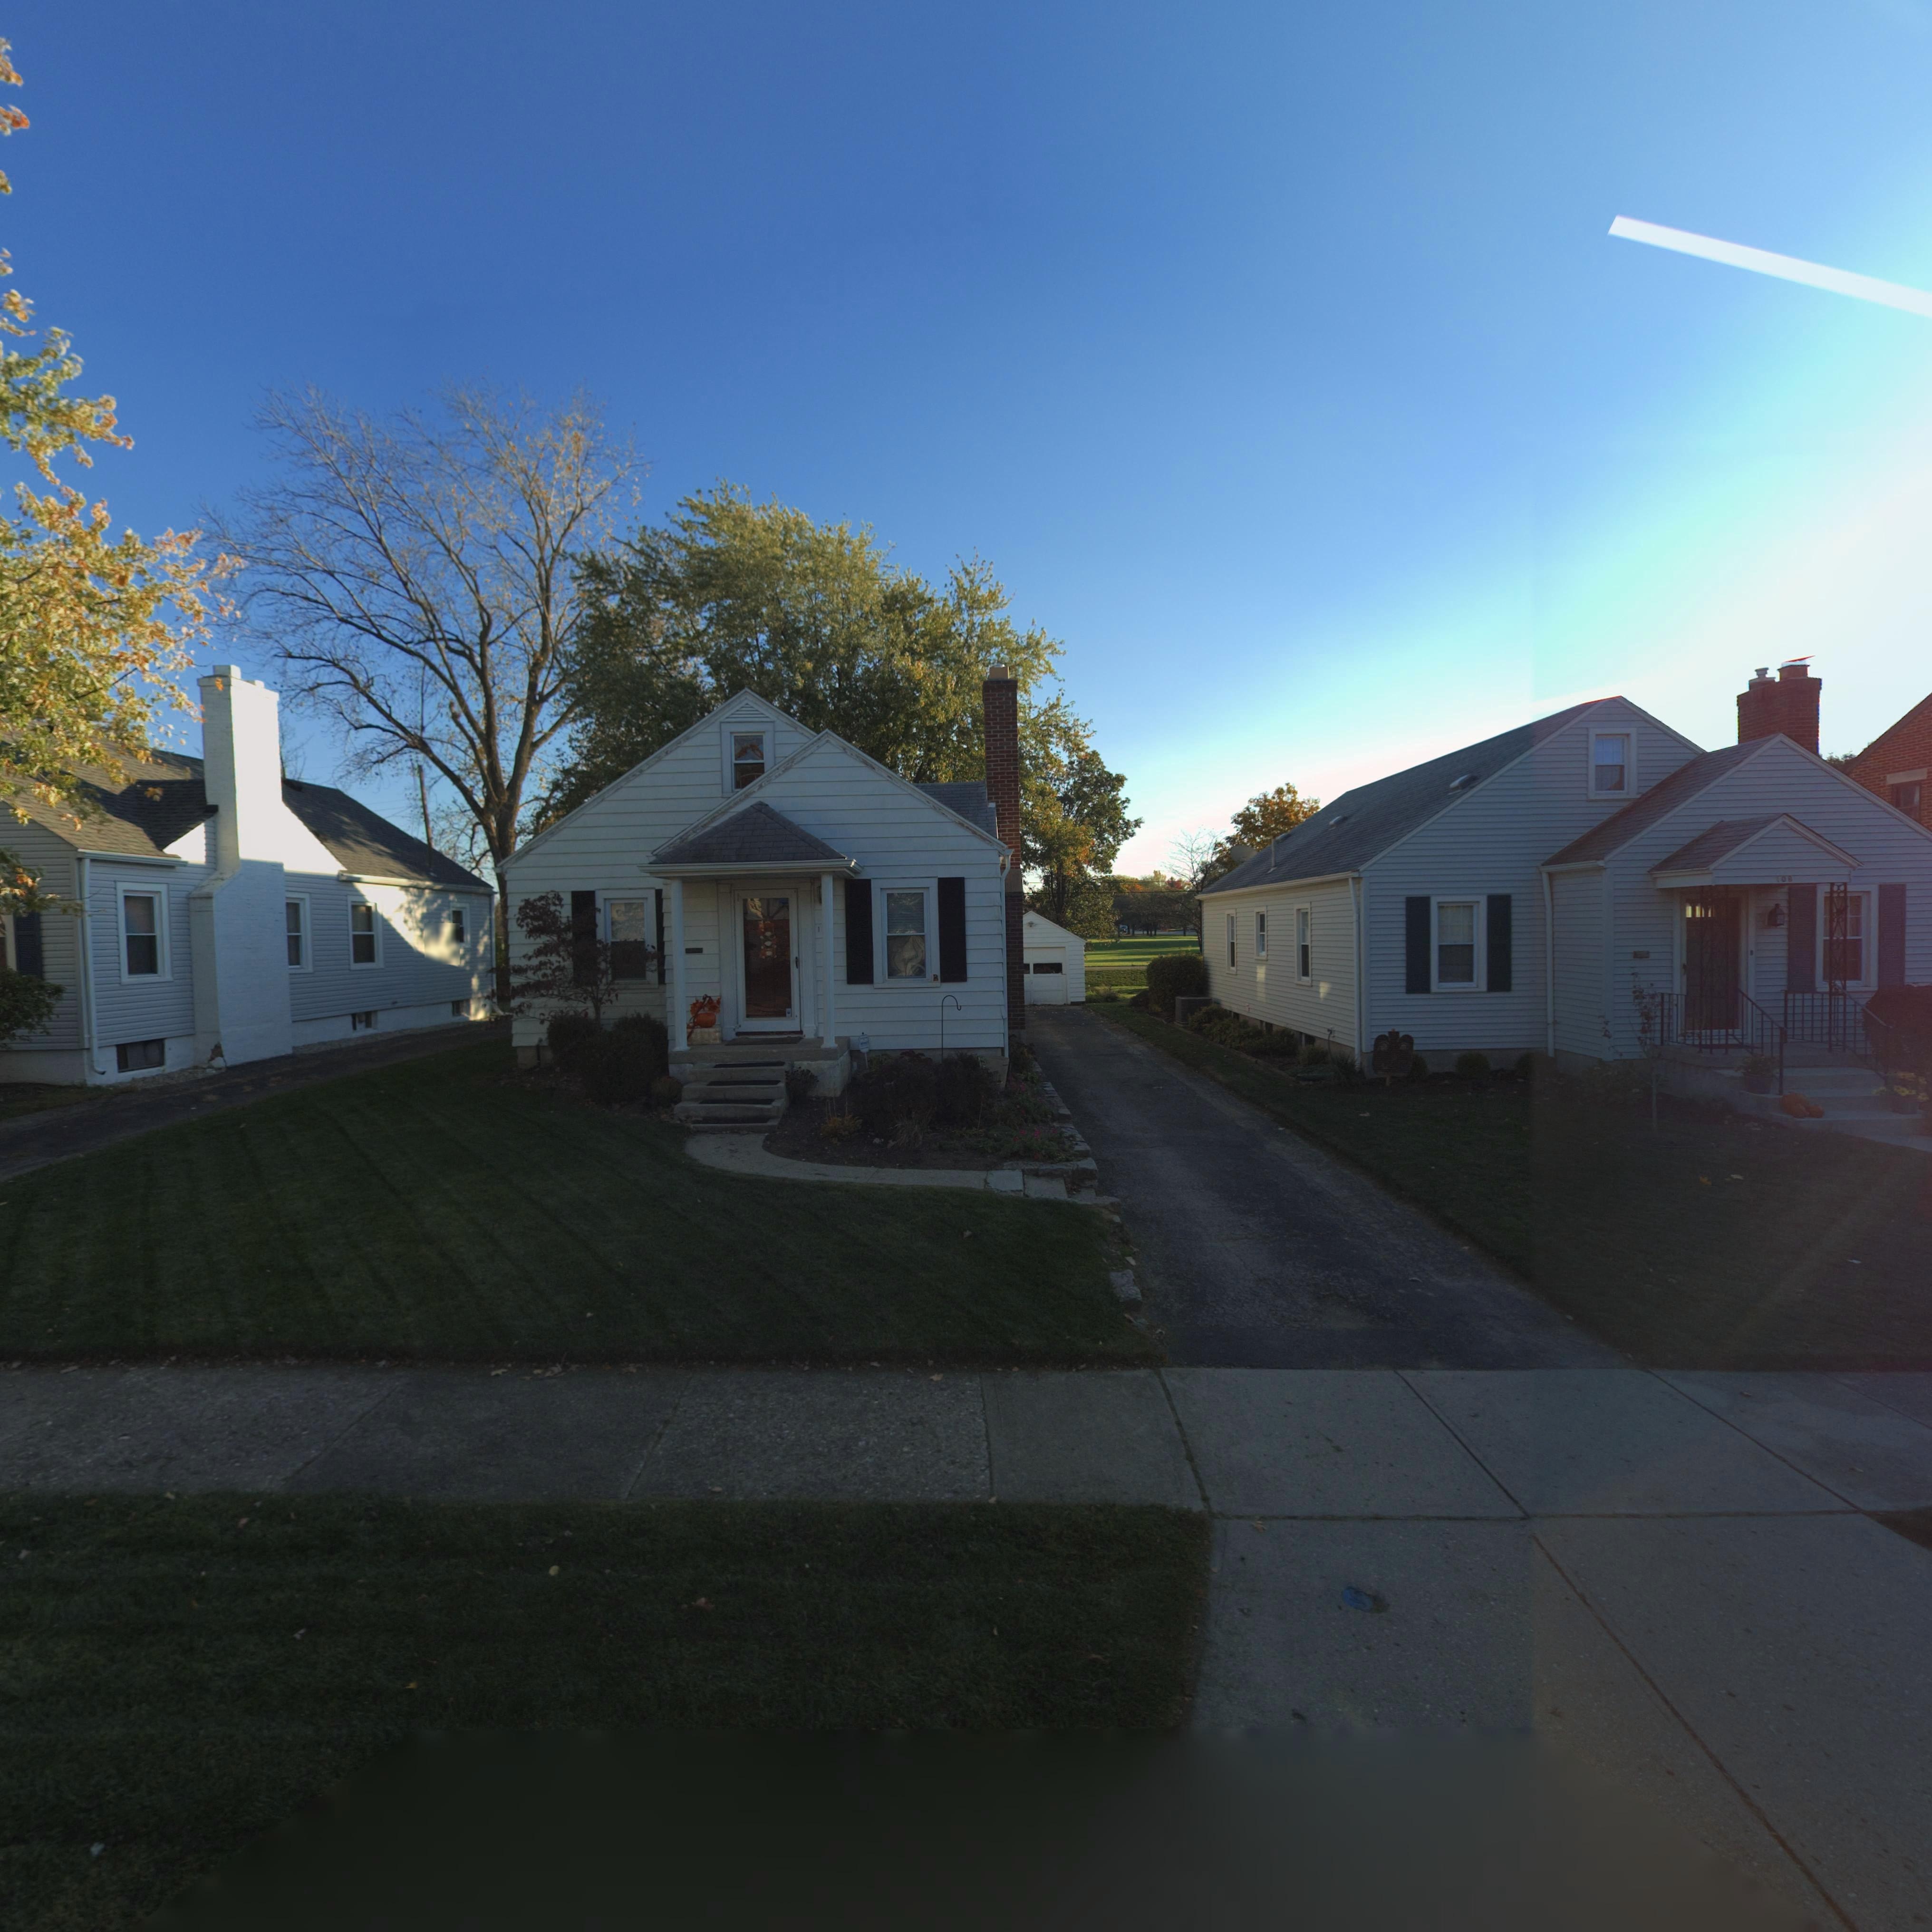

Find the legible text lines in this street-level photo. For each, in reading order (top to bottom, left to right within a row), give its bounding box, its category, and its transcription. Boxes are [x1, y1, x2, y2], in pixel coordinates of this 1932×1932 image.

[1775, 875, 1792, 883] StreetNumber: 108
[817, 926, 832, 932] StreetNumber: 1**